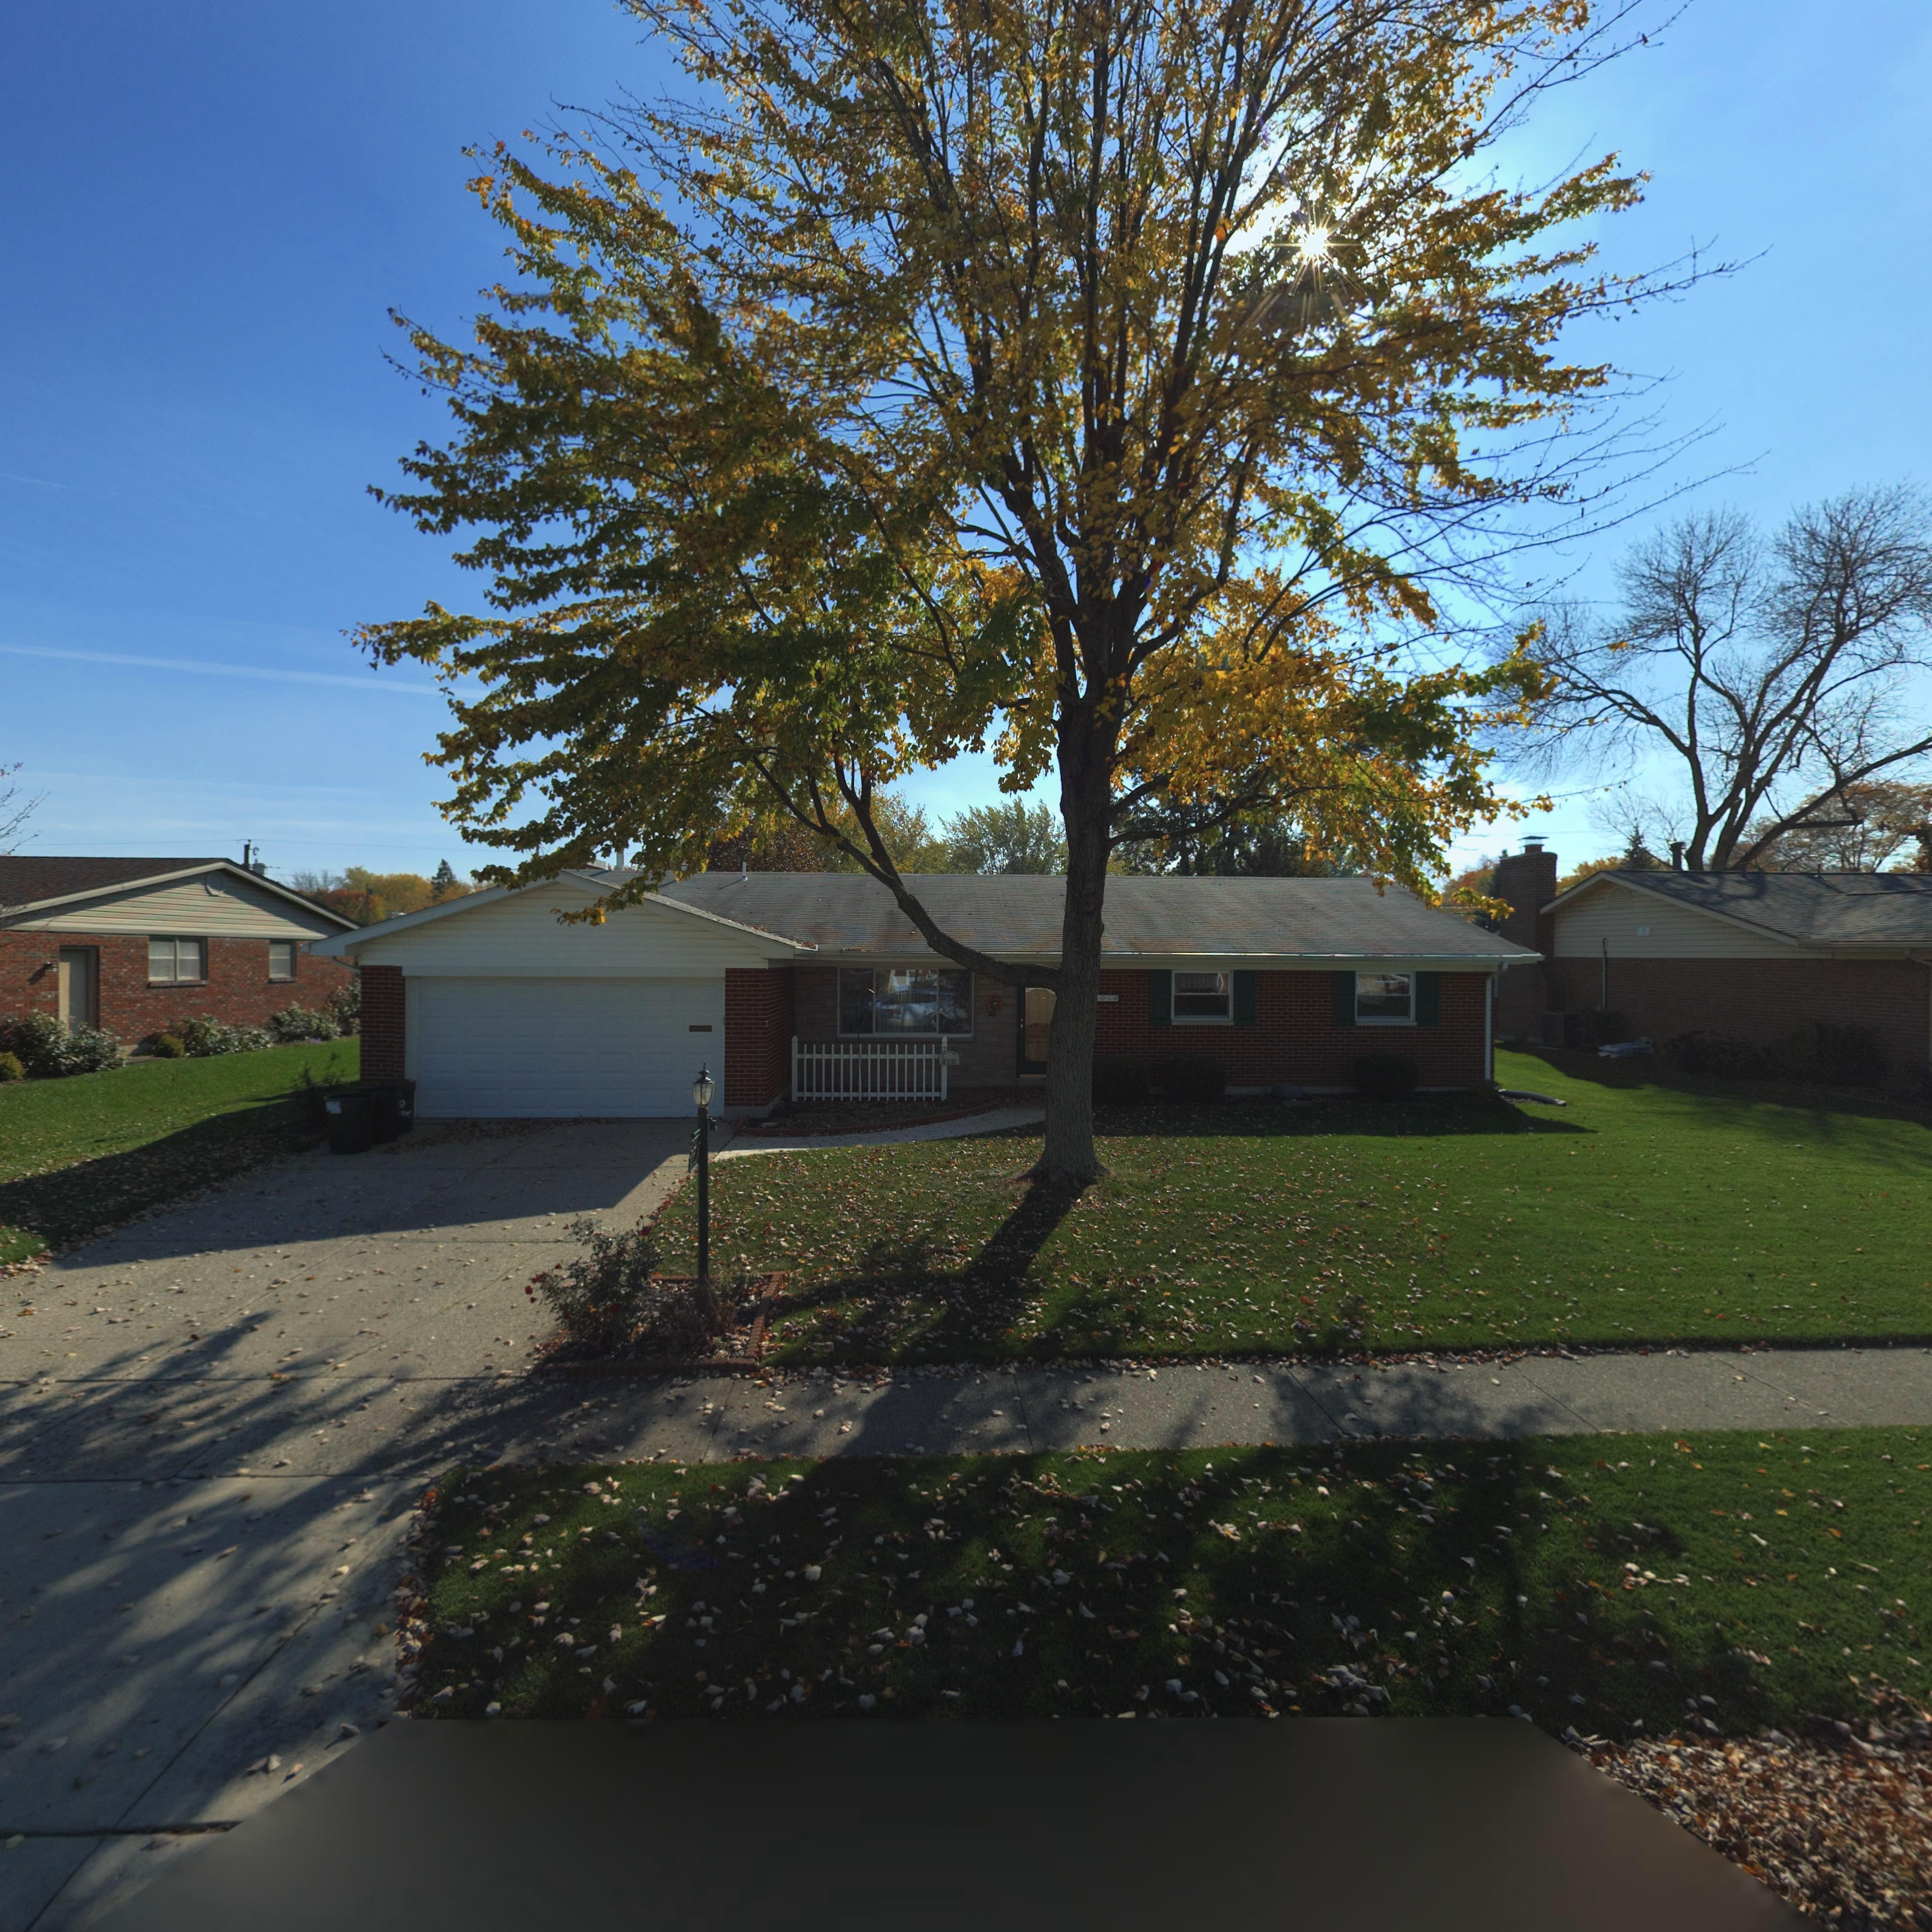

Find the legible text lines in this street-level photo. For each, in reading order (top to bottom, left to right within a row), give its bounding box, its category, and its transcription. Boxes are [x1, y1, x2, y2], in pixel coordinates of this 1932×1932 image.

[1101, 995, 1117, 1001] StreetNumber: 018